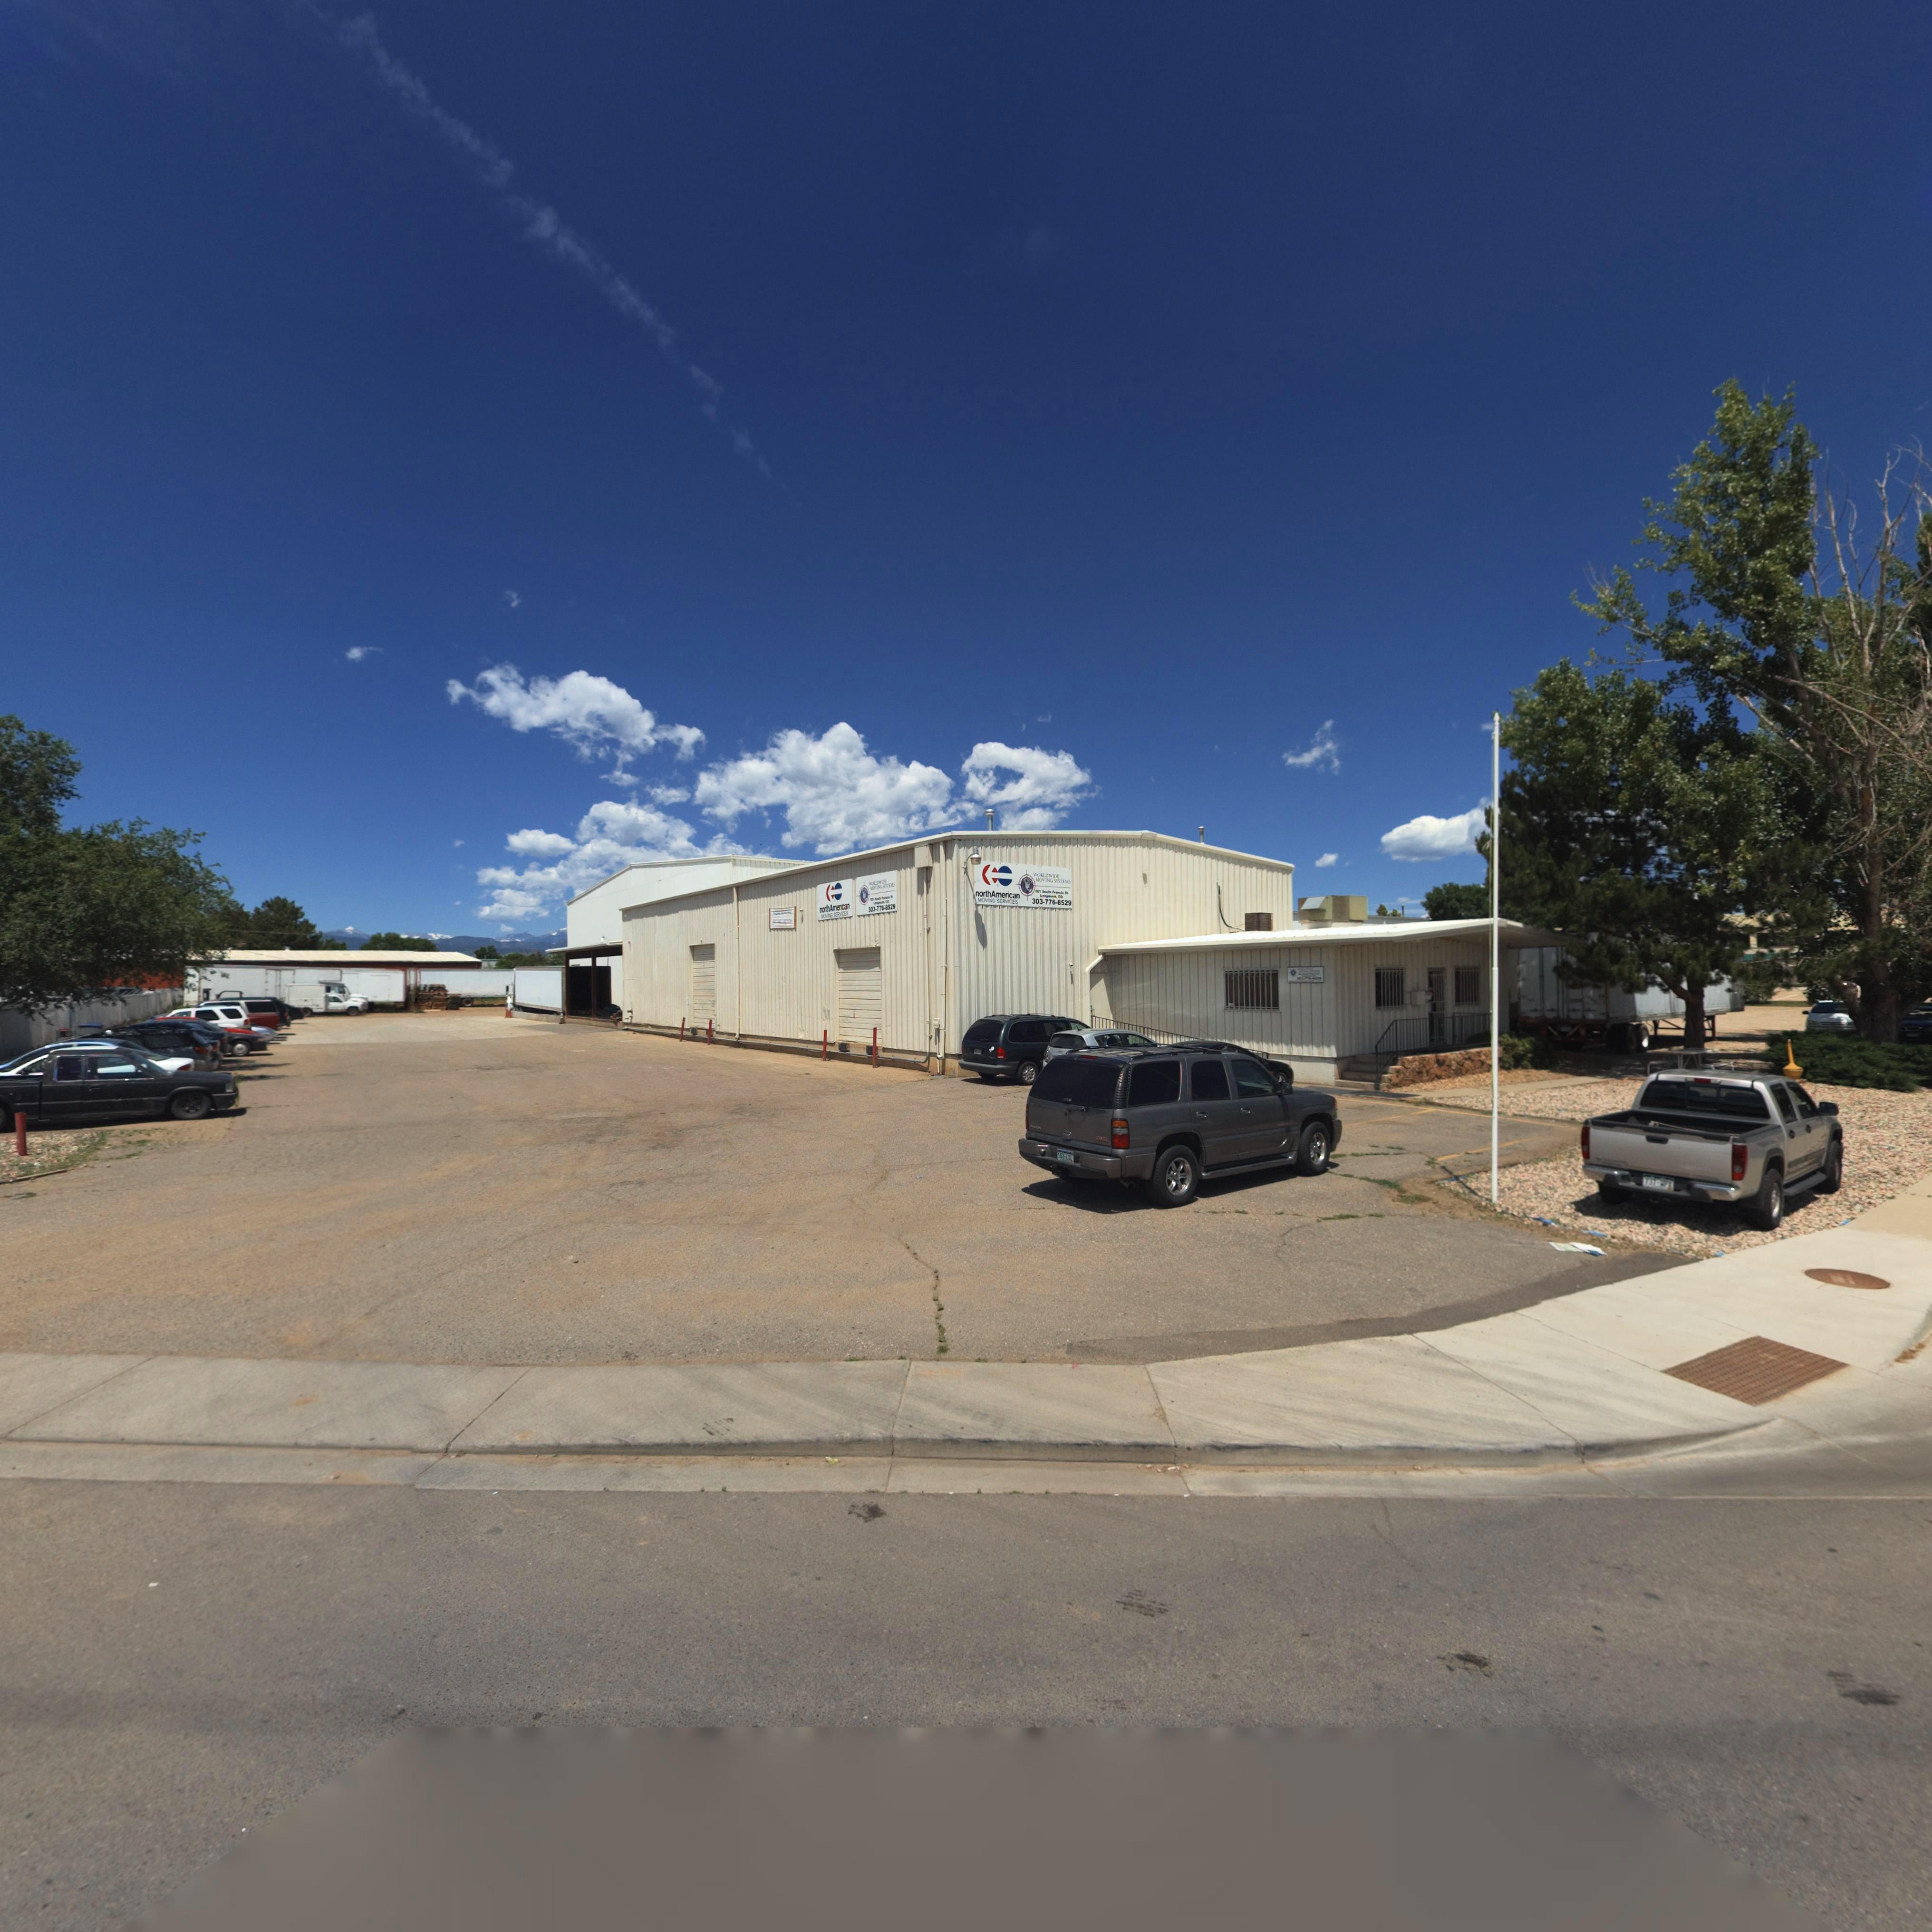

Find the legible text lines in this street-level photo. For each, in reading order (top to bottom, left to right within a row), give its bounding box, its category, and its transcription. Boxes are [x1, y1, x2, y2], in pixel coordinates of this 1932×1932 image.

[1033, 872, 1060, 879] BusinessName: WORLDWIDE
[1035, 877, 1071, 884] BusinessName: MOVINGSYSTEMS
[869, 881, 896, 891] BusinessName: MO*ING SY*TE*S
[975, 889, 1020, 898] BusinessName: northAmerican
[1034, 889, 1041, 893] StreetNumber: *01
[1041, 889, 1069, 895] StreetName: South Fr**cis S*
[977, 897, 1018, 904] BusinessName: MOVING SERVICES
[819, 903, 850, 914] BusinessName: northAmer*can
[821, 910, 849, 919] BusinessName: MOV*NG SERV*CES